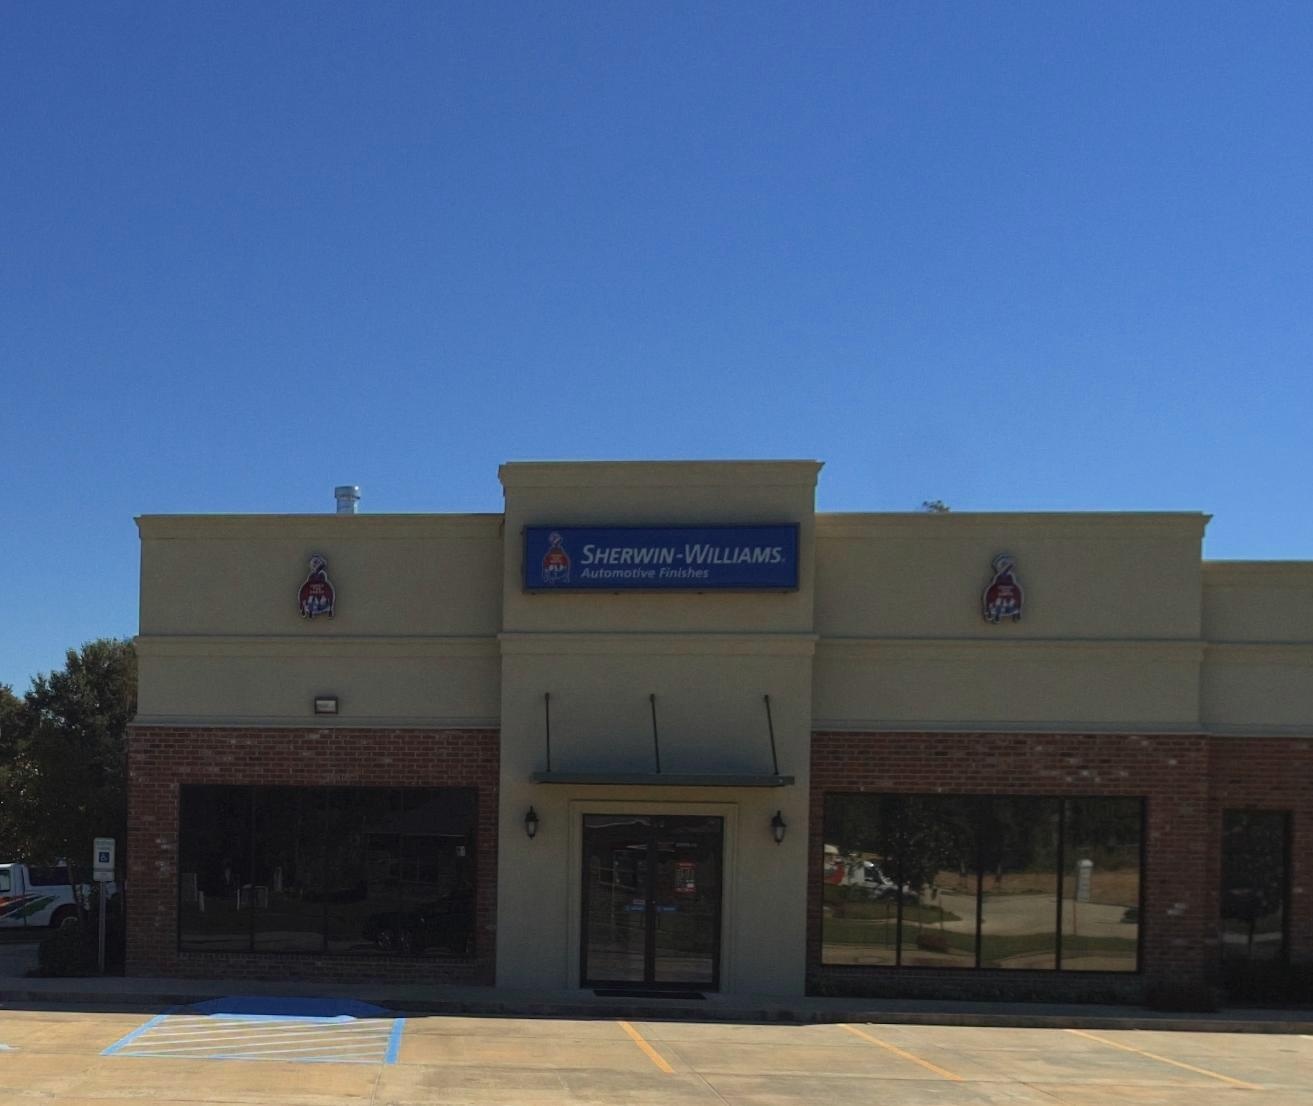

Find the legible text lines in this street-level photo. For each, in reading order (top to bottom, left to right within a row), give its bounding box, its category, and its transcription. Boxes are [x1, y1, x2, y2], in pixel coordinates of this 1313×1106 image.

[578, 541, 784, 567] BusinessName: SHERWIN-WILLIAMS
[577, 565, 710, 579] None: Automotive Finishes